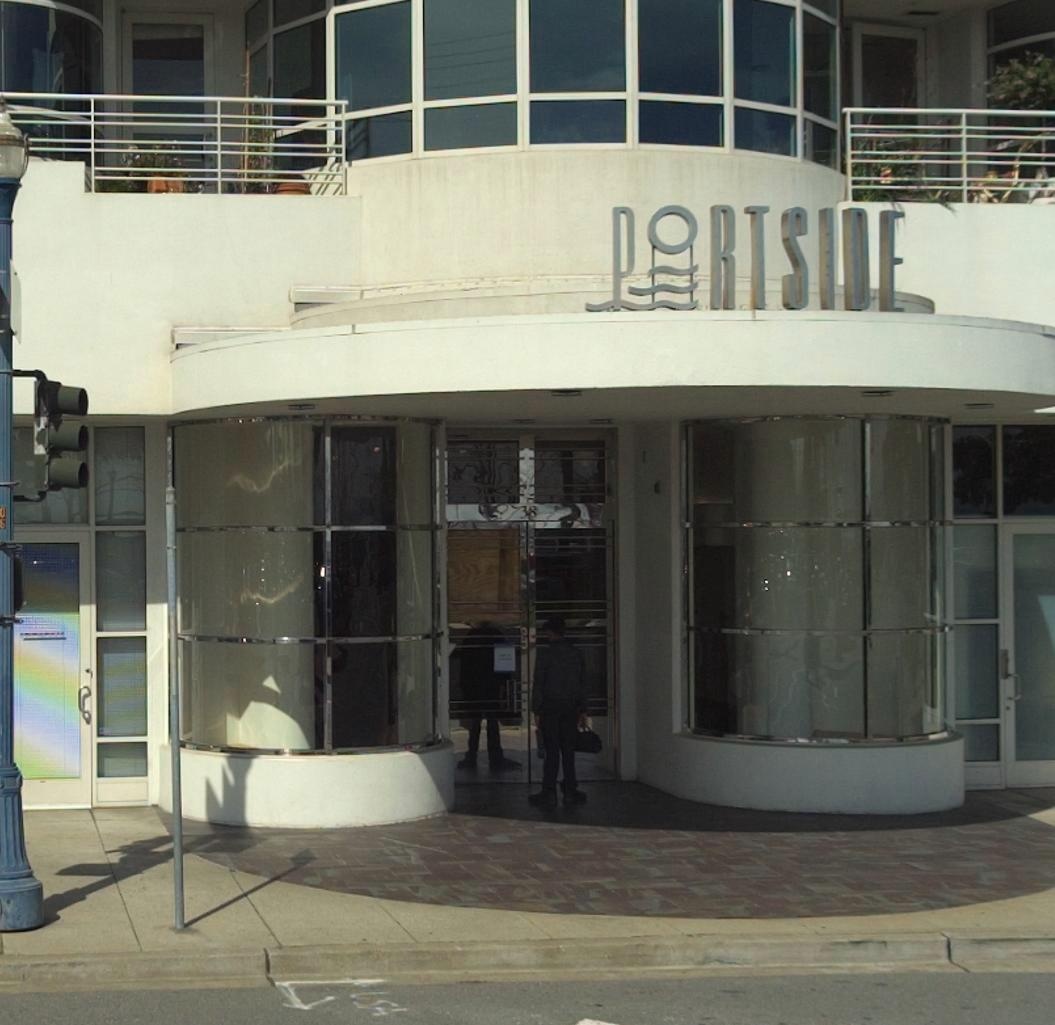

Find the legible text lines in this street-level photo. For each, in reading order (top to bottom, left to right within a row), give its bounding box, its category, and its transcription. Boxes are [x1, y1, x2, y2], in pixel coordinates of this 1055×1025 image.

[604, 200, 913, 320] BusinessName: PORTSIDE
[517, 504, 539, 522] StreetNumber: 38